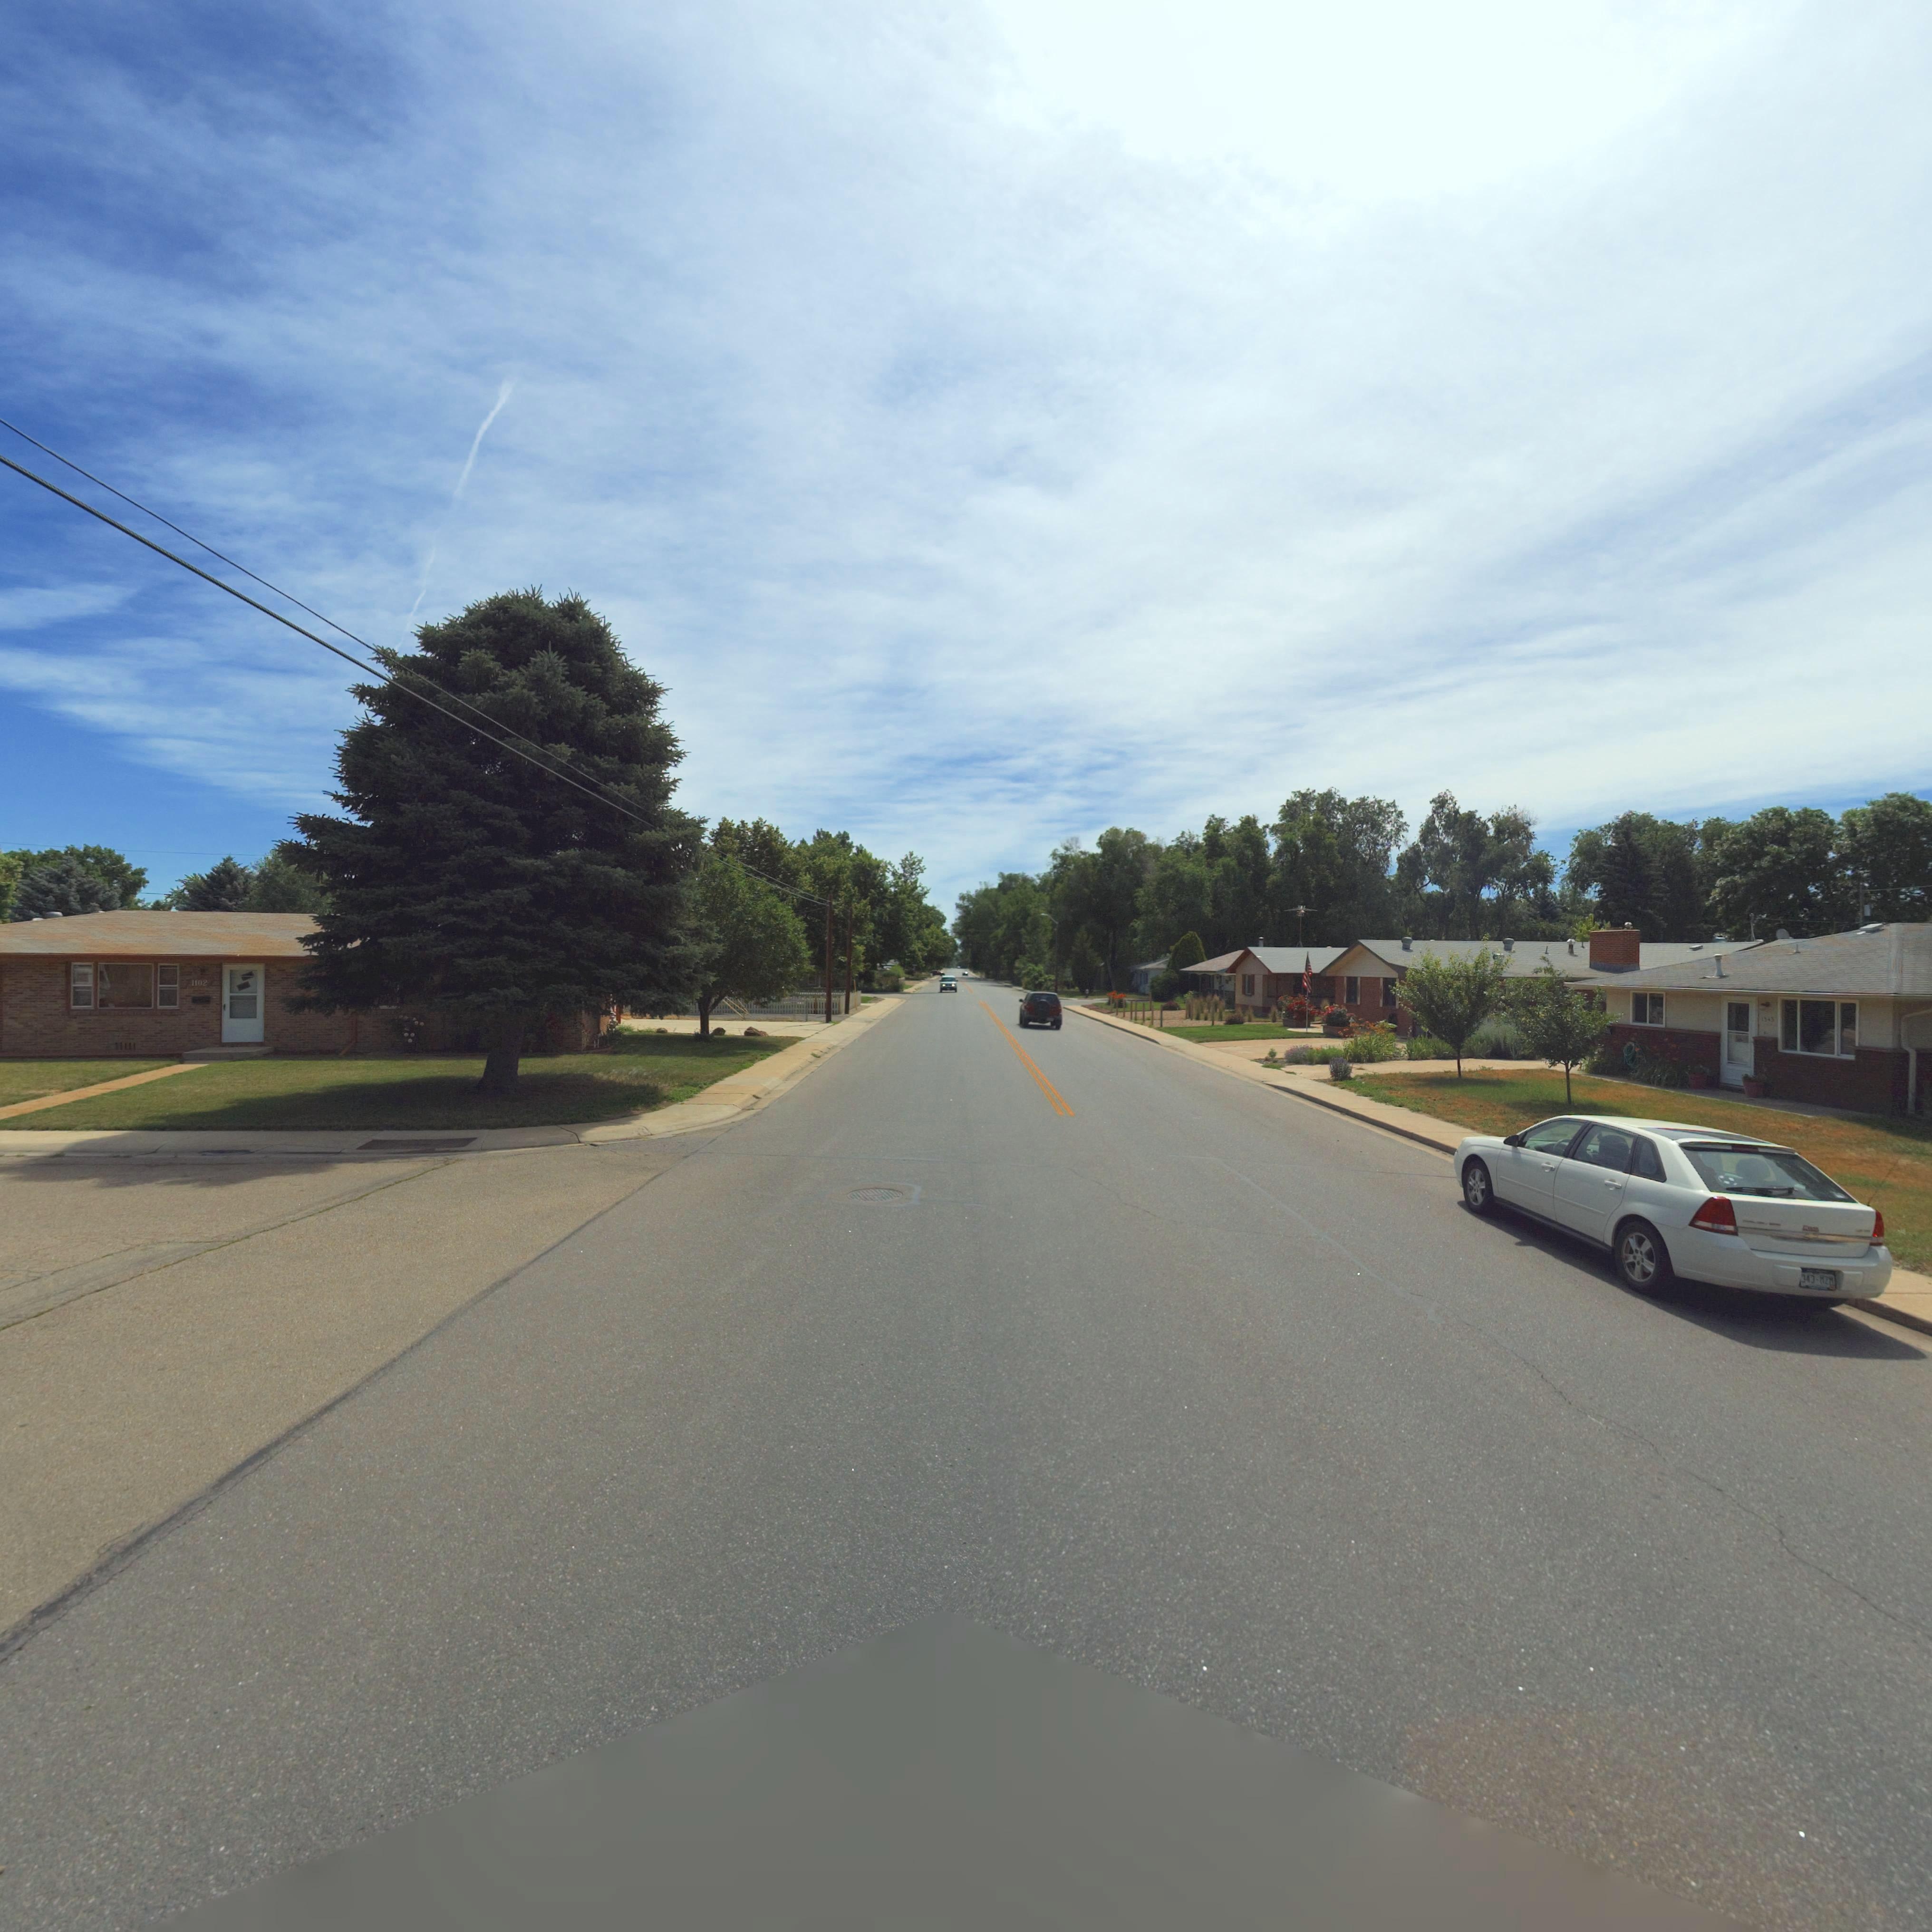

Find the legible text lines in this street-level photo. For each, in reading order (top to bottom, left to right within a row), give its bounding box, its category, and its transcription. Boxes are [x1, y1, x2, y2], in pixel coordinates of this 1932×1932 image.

[191, 979, 208, 986] StreetNumber: 1102
[1761, 1016, 1774, 1022] StreetNumber: 13**